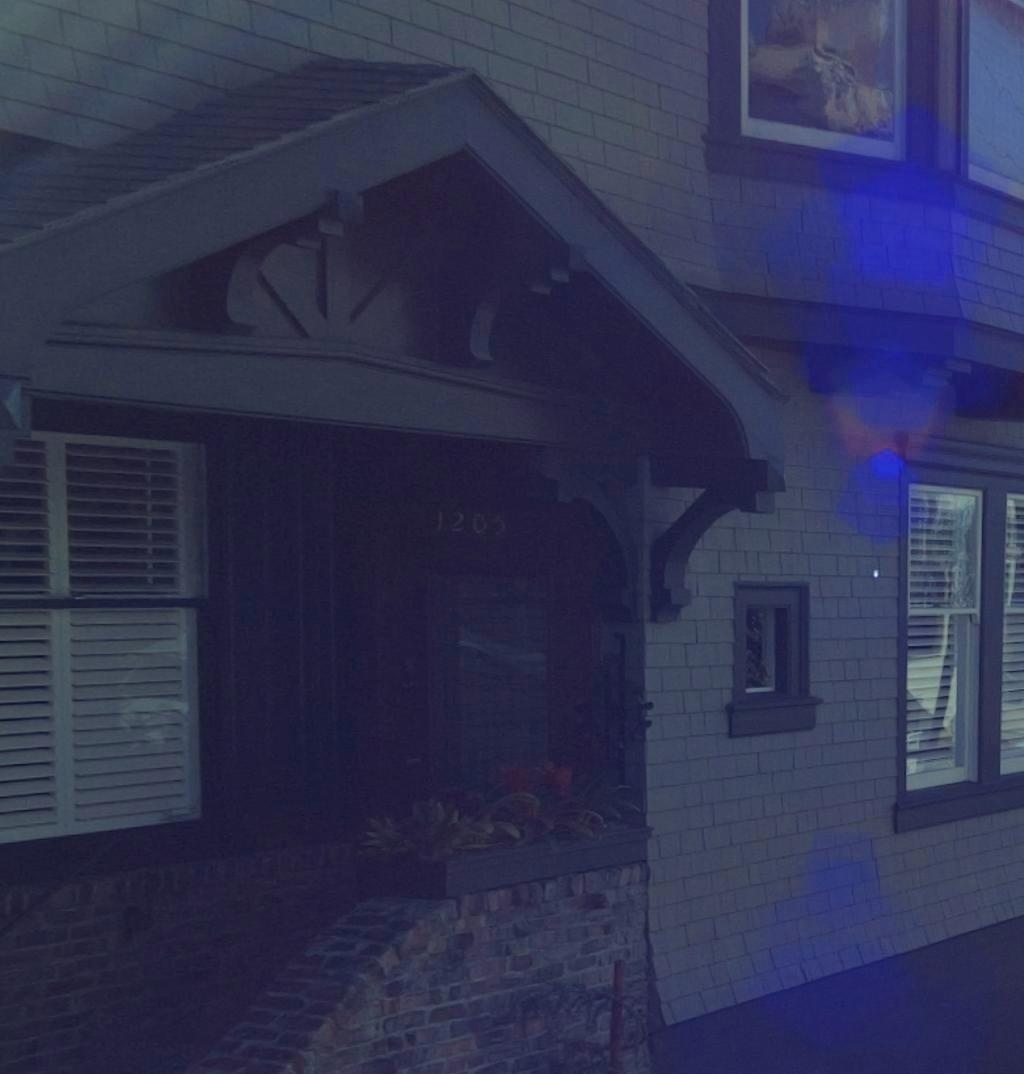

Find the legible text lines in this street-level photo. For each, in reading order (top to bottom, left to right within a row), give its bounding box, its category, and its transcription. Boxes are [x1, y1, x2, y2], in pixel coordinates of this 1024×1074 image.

[435, 508, 509, 538] StreetNumber: 1205